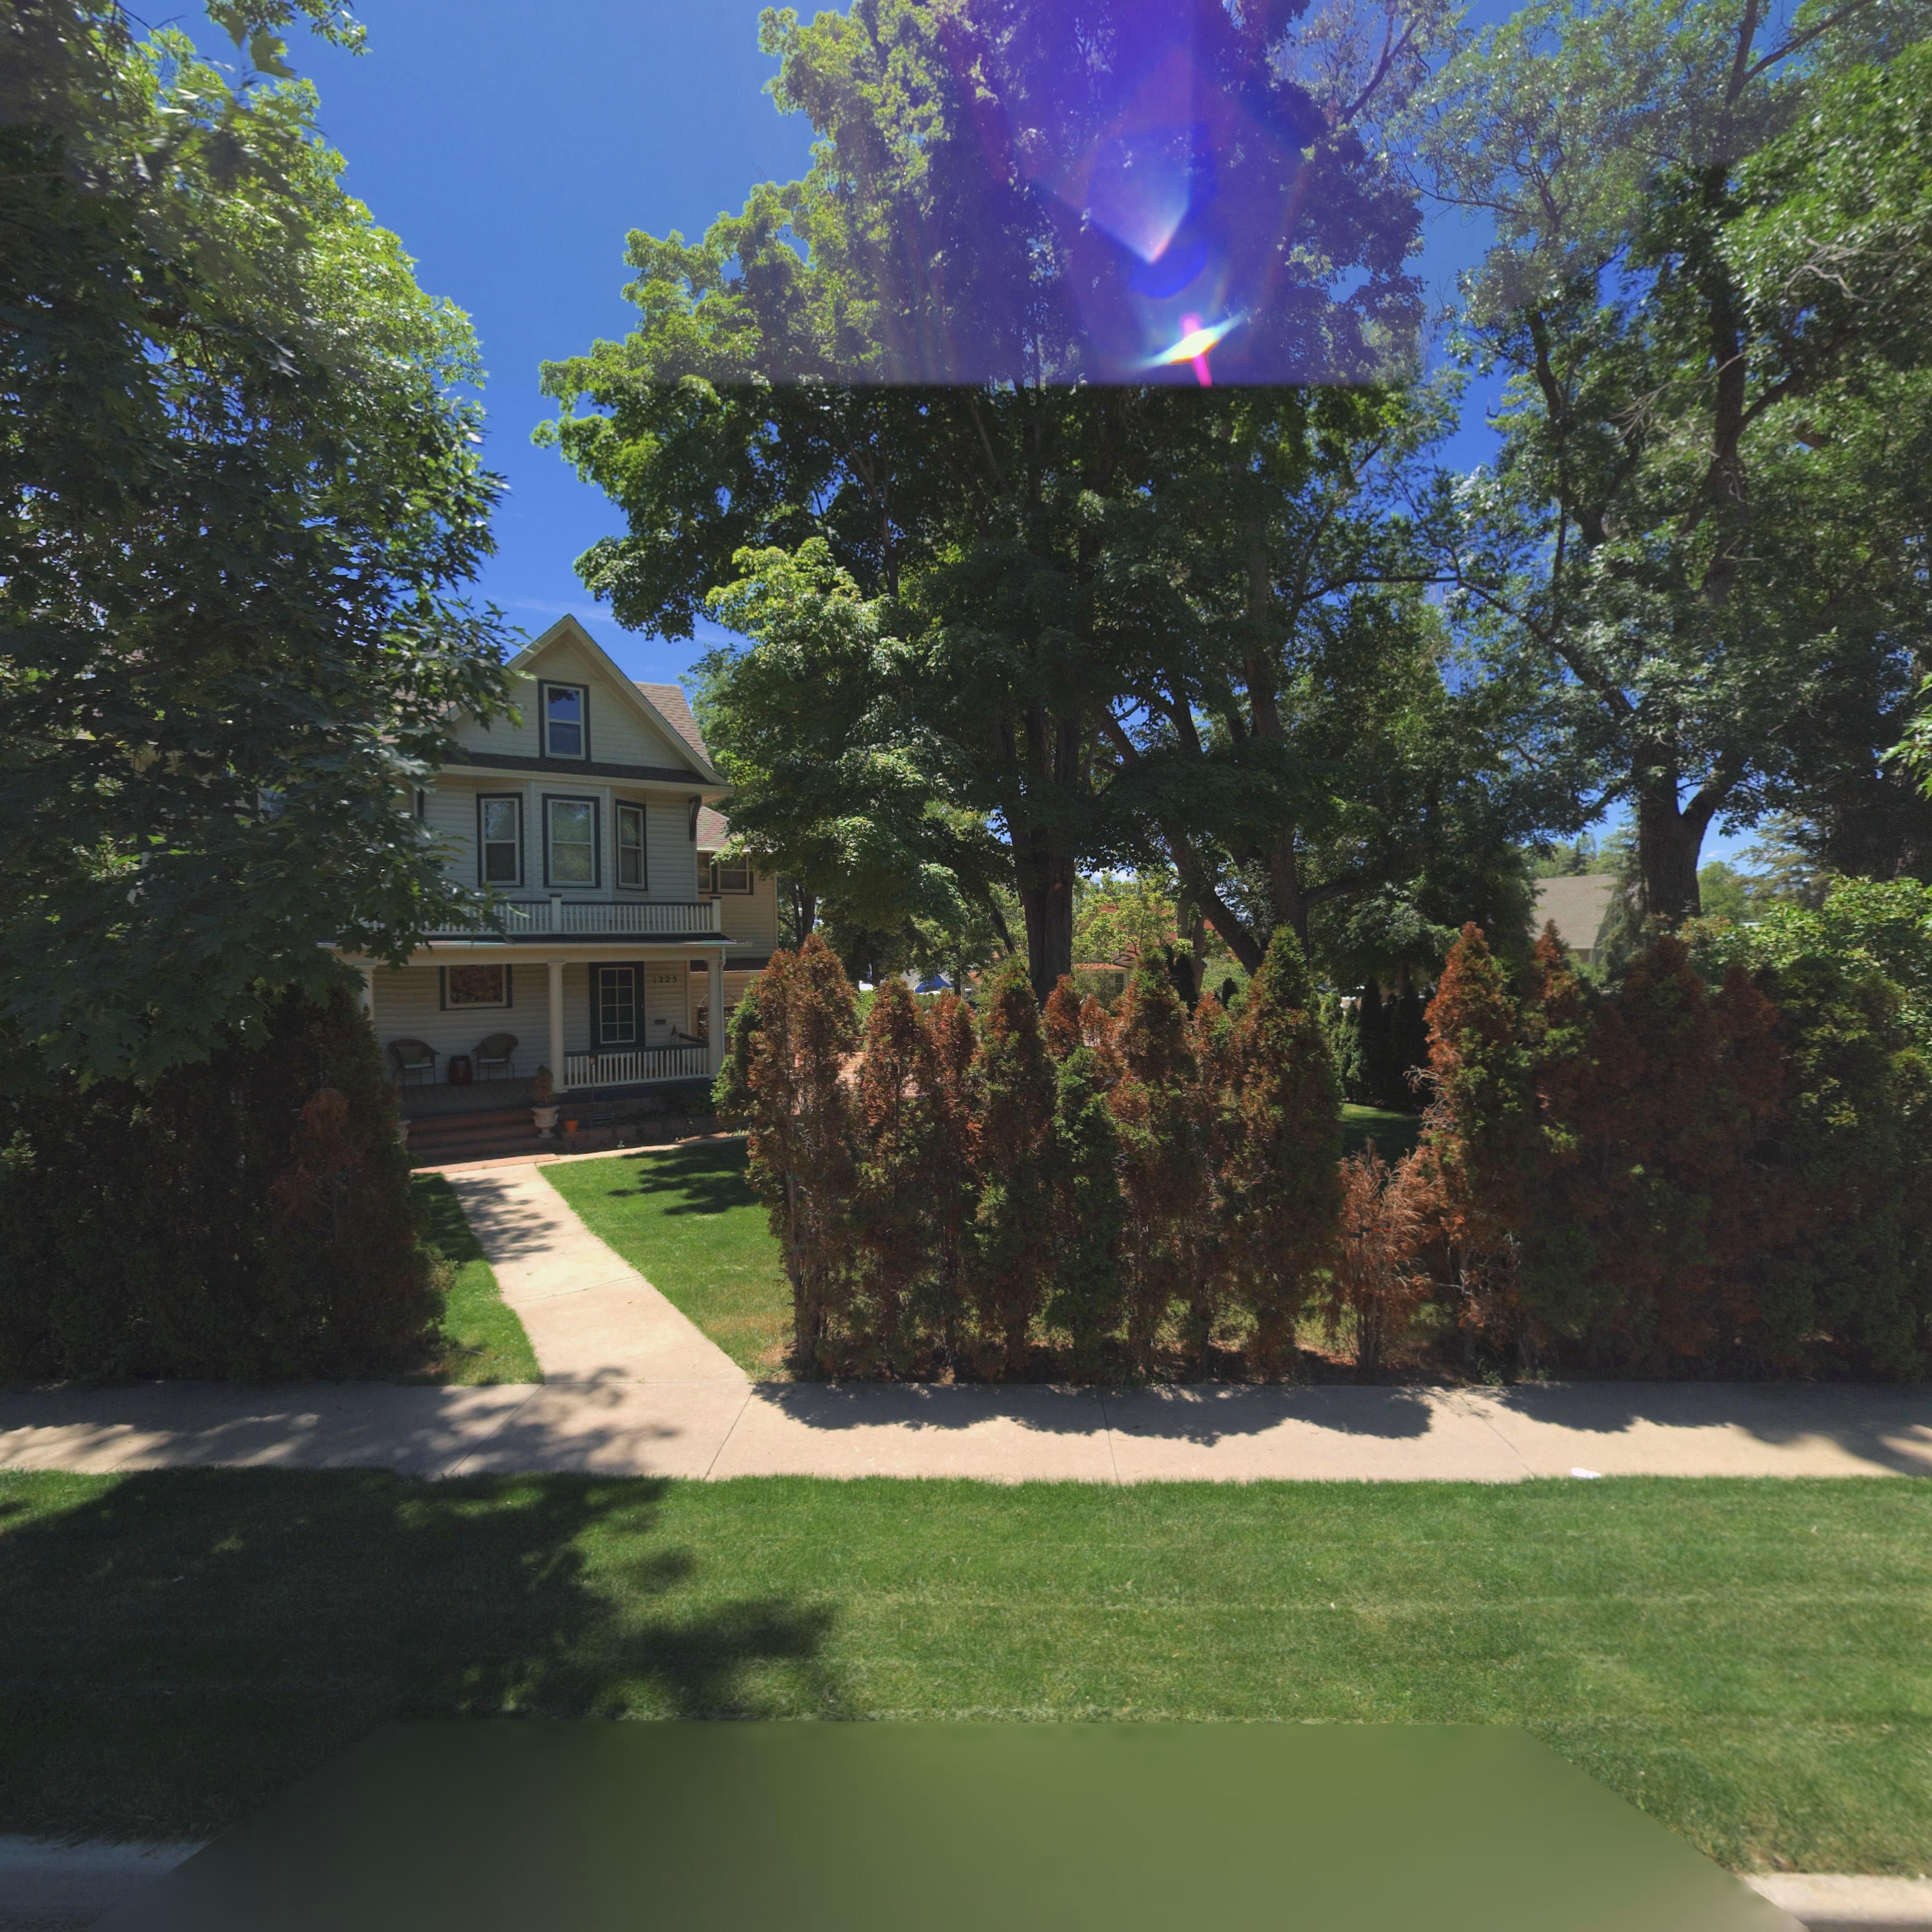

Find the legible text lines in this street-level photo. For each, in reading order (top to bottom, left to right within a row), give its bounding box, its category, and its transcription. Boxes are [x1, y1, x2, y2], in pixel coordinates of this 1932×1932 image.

[653, 976, 677, 984] StreetNumber: 1225